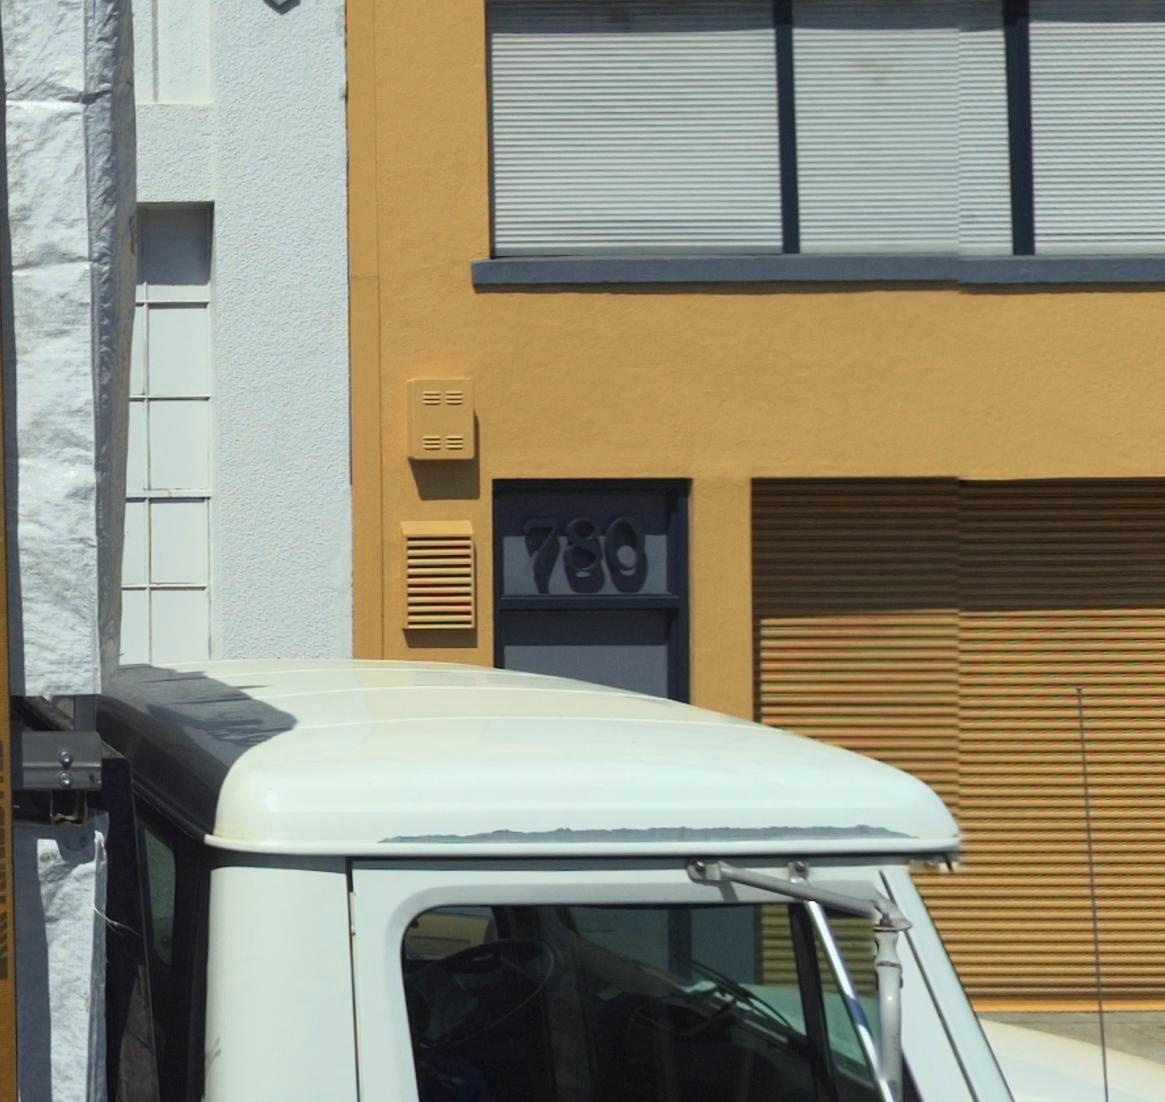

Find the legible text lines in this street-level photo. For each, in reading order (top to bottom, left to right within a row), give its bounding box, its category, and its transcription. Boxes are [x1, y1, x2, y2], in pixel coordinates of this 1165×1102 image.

[520, 513, 649, 578] StreetNumber: 780